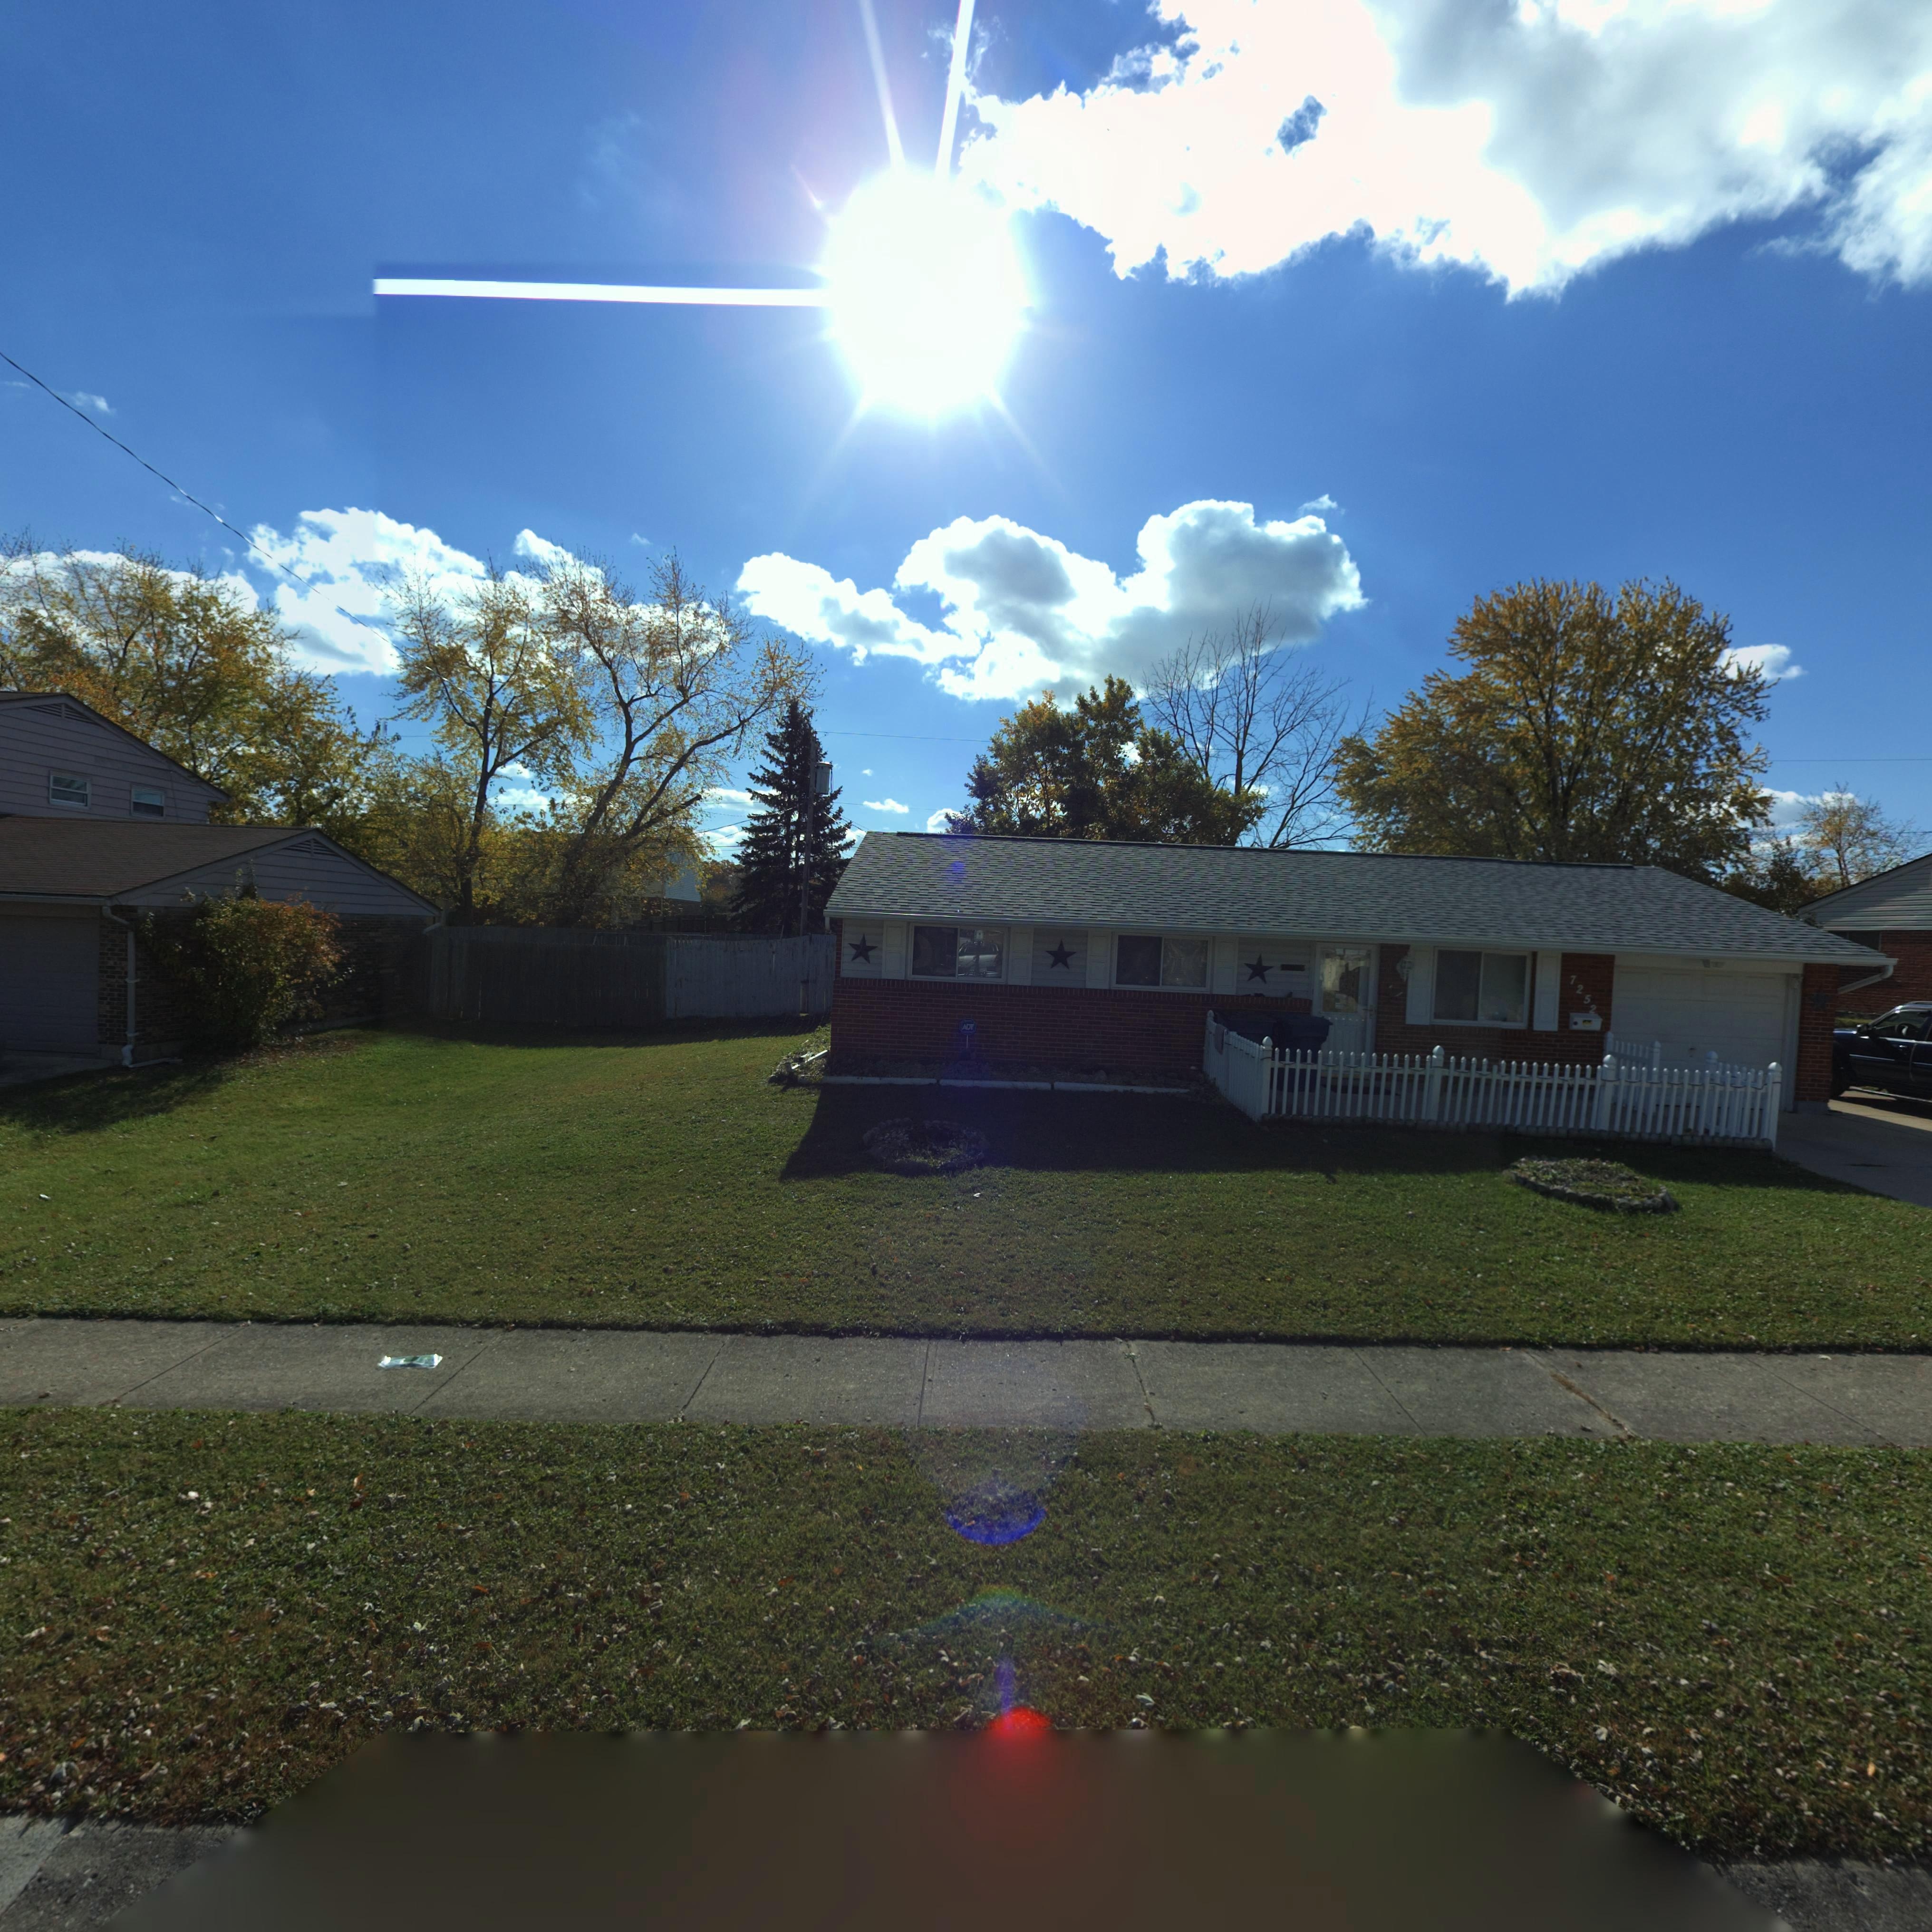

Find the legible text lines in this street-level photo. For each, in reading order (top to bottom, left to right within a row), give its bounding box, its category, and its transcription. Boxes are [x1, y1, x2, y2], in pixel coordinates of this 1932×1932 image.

[1567, 974, 1599, 1015] StreetNumber: 7252